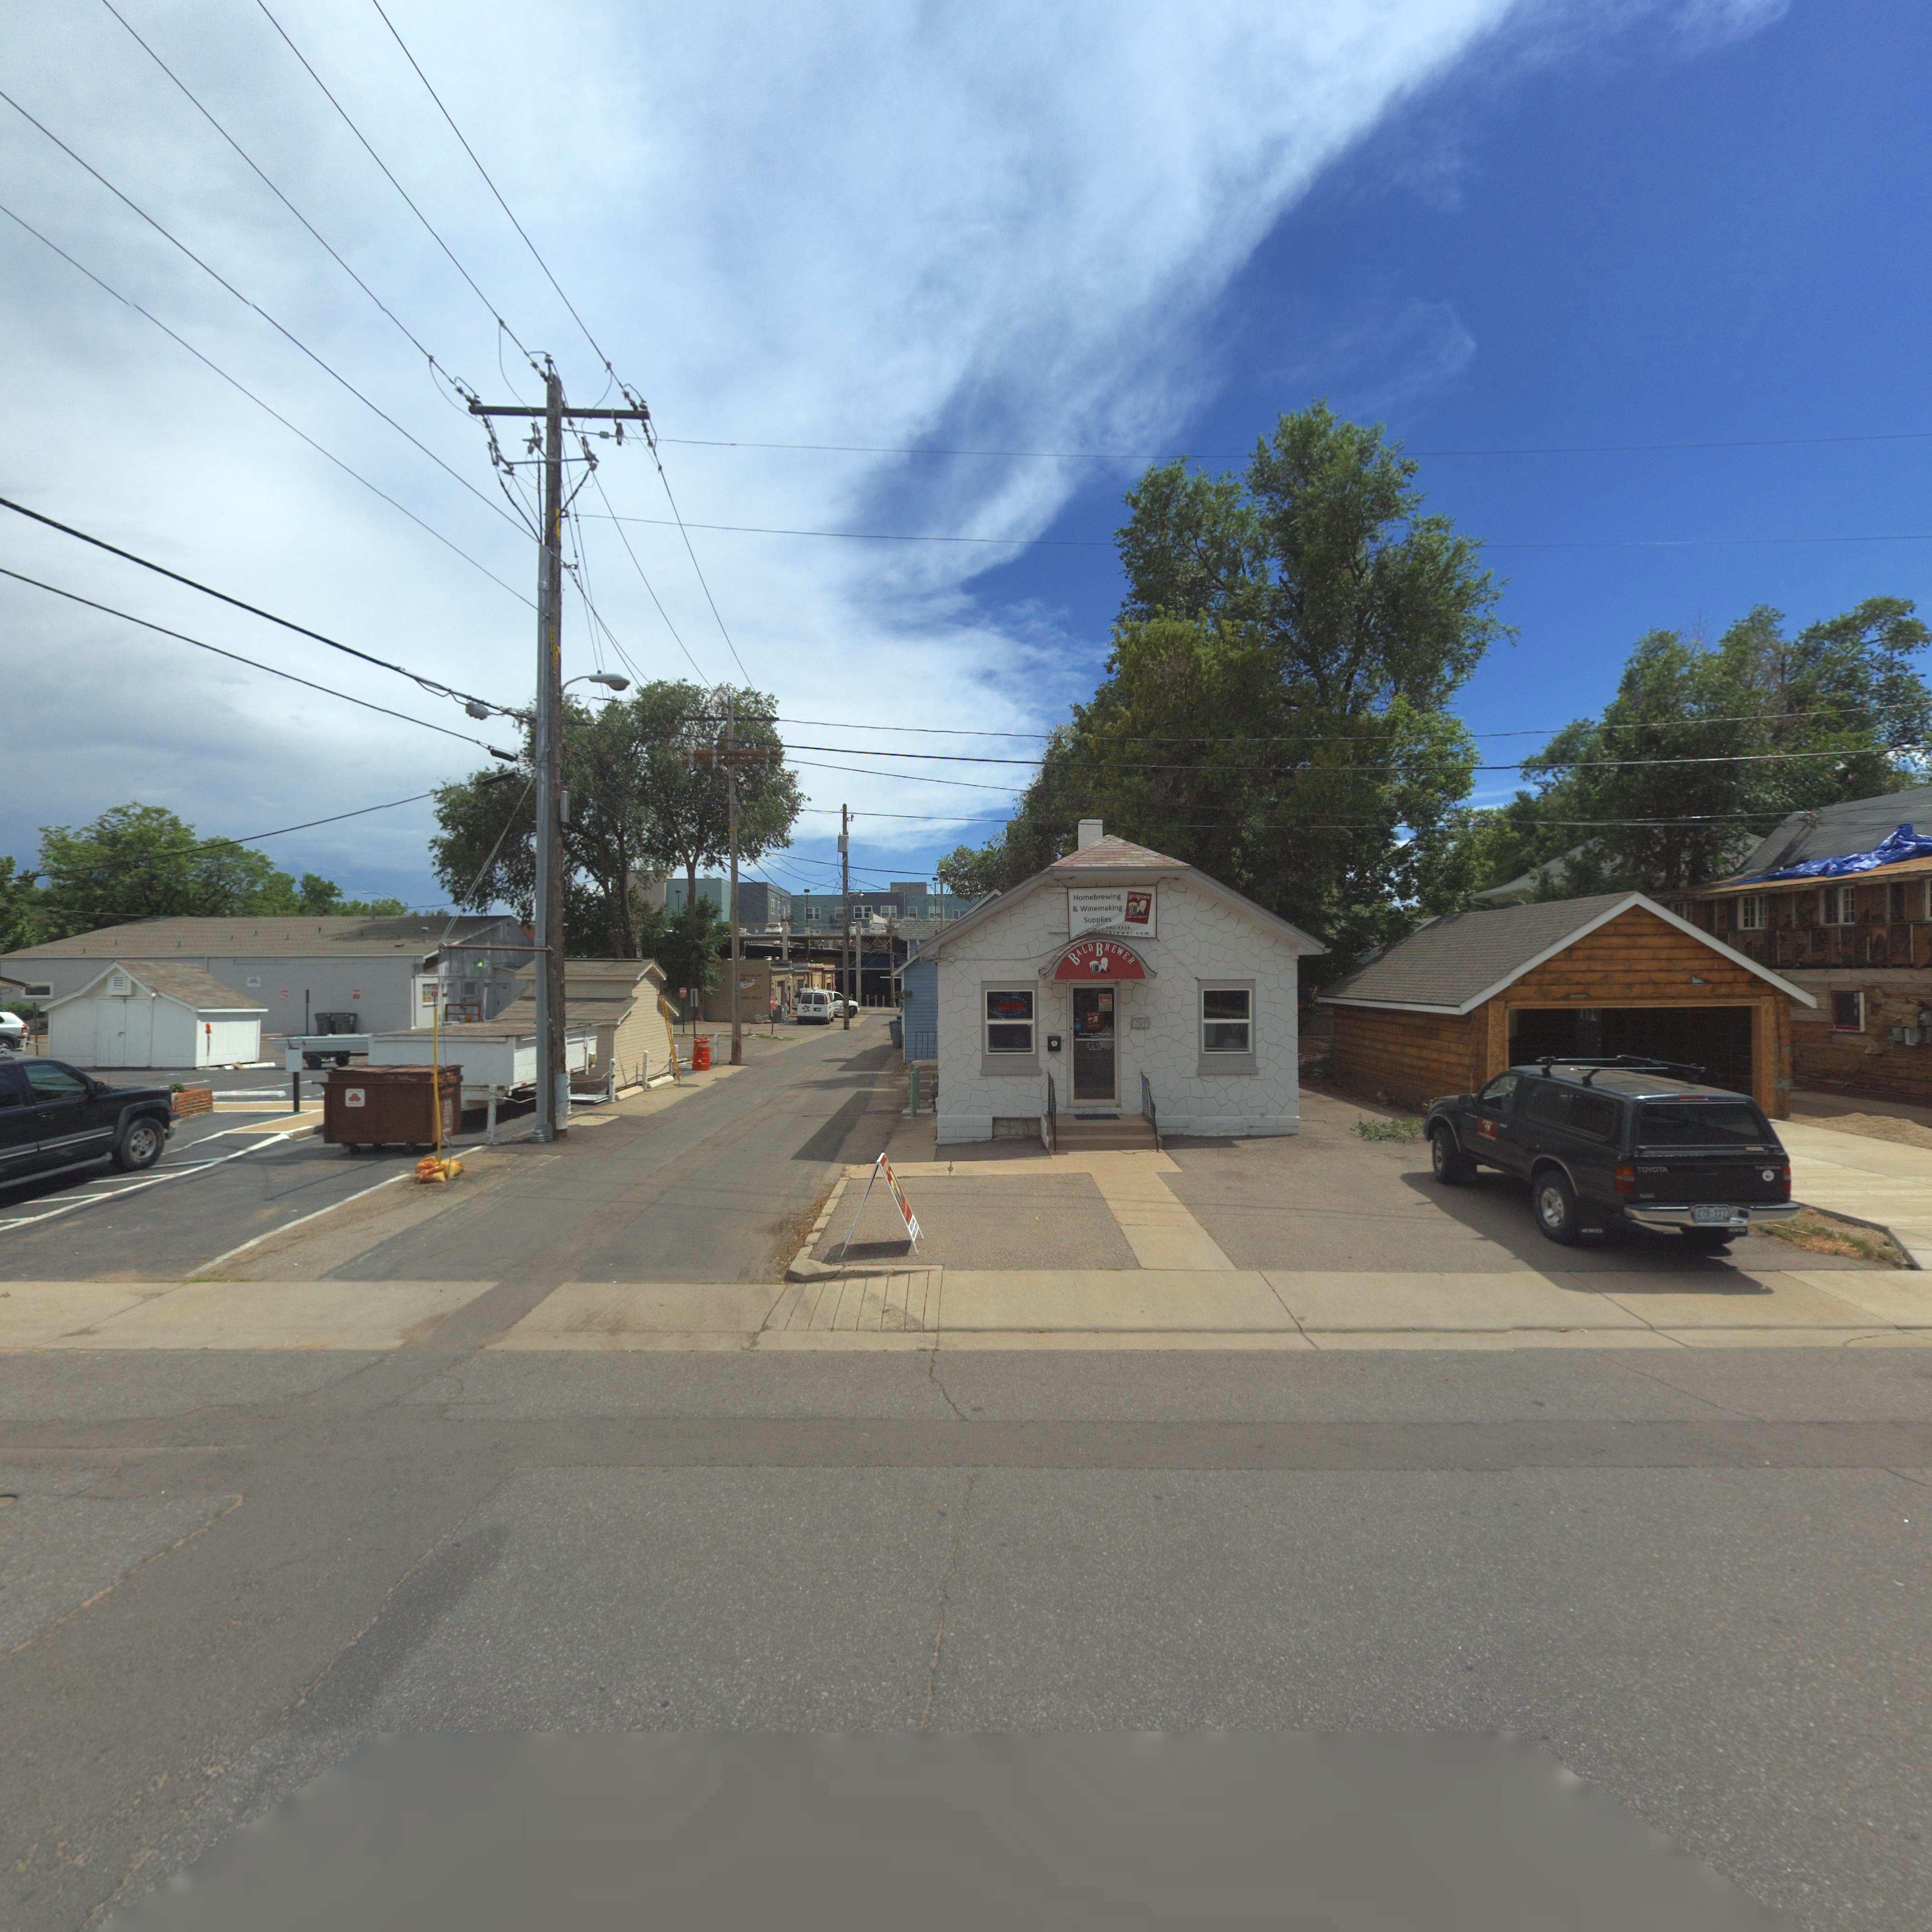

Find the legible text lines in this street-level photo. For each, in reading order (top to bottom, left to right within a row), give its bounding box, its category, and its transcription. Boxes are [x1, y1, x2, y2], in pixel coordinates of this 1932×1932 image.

[1128, 893, 1150, 901] BusinessName: BALD BREWER
[1066, 942, 1135, 966] BusinessName: BALD BREWER
[1131, 1018, 1148, 1028] StreetNumber: 651